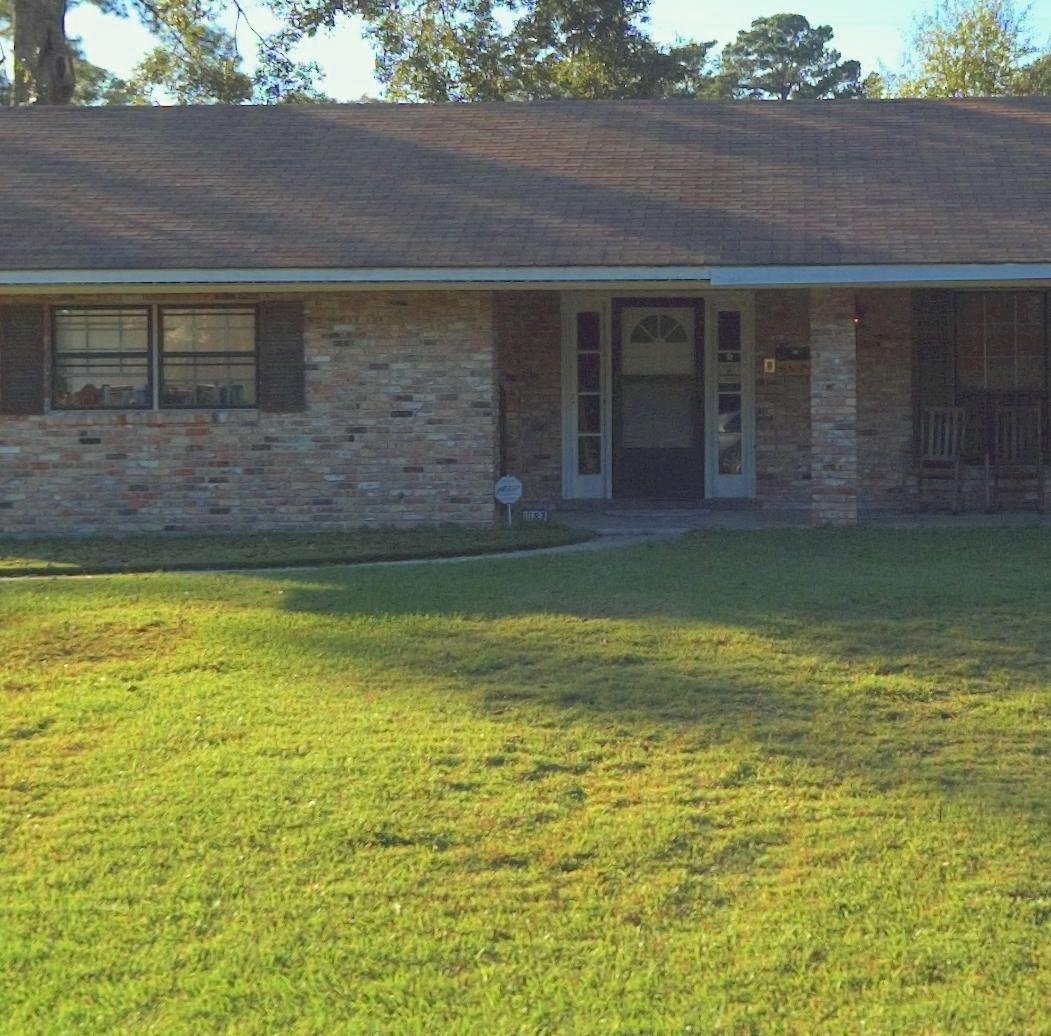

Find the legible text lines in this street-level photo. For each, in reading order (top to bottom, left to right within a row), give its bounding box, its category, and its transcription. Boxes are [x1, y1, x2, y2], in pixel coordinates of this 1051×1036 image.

[522, 510, 547, 522] StreetNumber: 1187